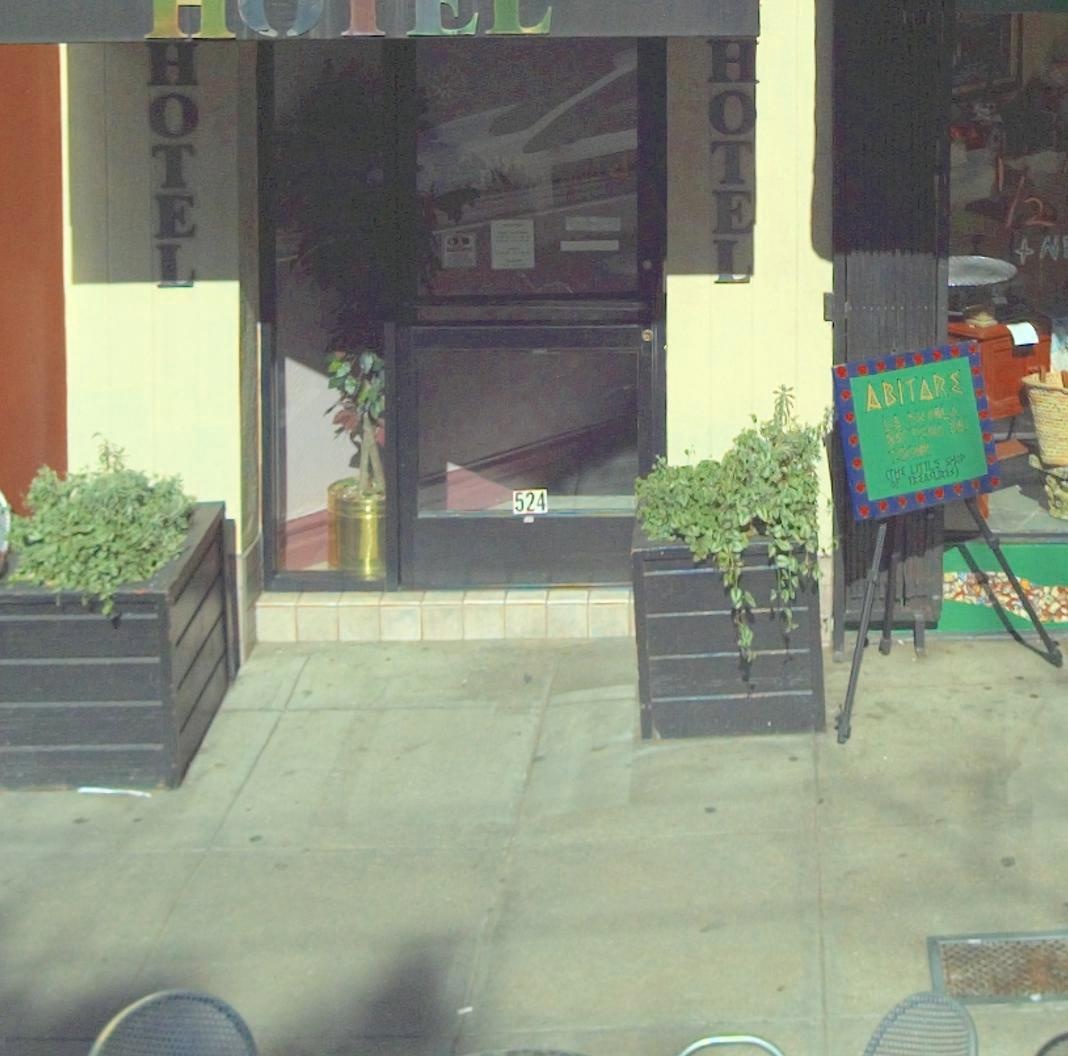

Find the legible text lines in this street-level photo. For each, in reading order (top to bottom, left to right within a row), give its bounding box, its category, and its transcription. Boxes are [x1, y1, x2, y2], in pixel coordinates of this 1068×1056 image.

[145, 39, 199, 289] None: HOTEL
[703, 36, 759, 287] None: HOTEL
[995, 152, 1007, 195] None: 1
[1023, 194, 1057, 228] None: 2
[1039, 232, 1062, 262] None: N
[865, 365, 966, 415] BusinessName: ABITARE
[889, 466, 956, 491] None: OF TREASURES
[885, 451, 967, 481] None: THE LITTLE SHOP
[514, 490, 547, 512] StreetNumber: 524